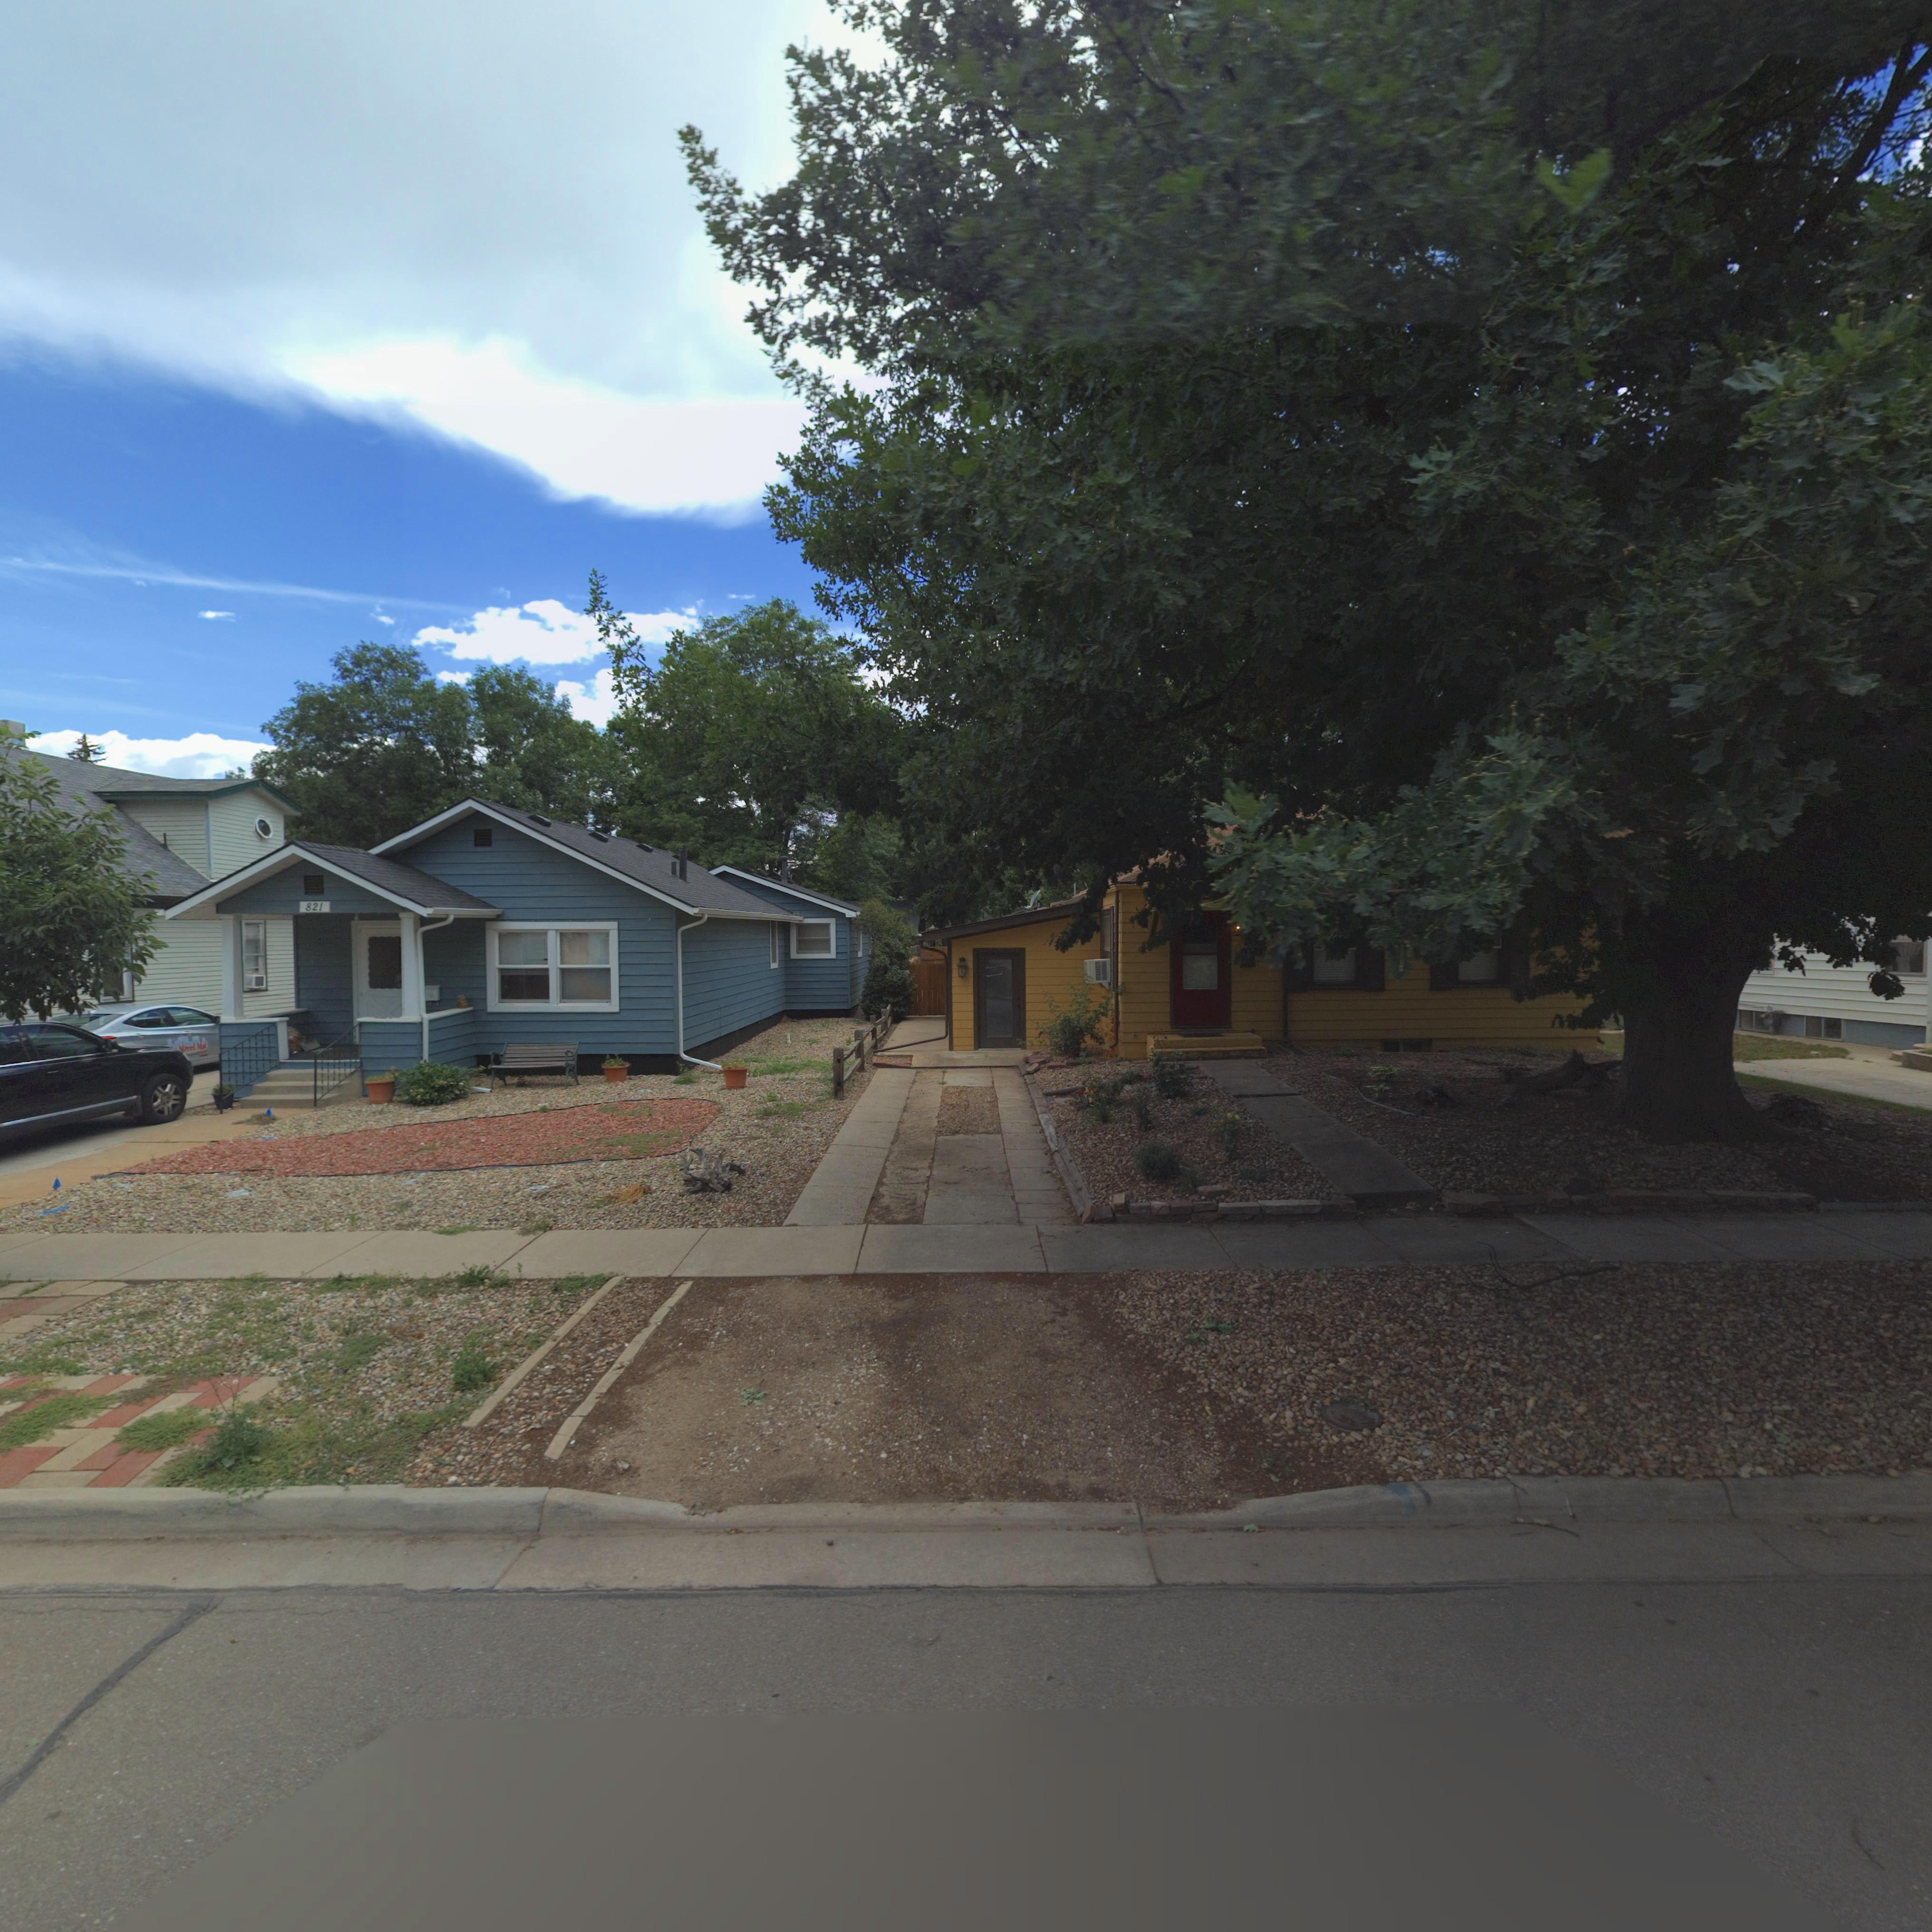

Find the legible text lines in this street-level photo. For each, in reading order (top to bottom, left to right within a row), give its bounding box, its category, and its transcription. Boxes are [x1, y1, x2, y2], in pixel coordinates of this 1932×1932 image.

[305, 902, 323, 911] StreetNumber: 821